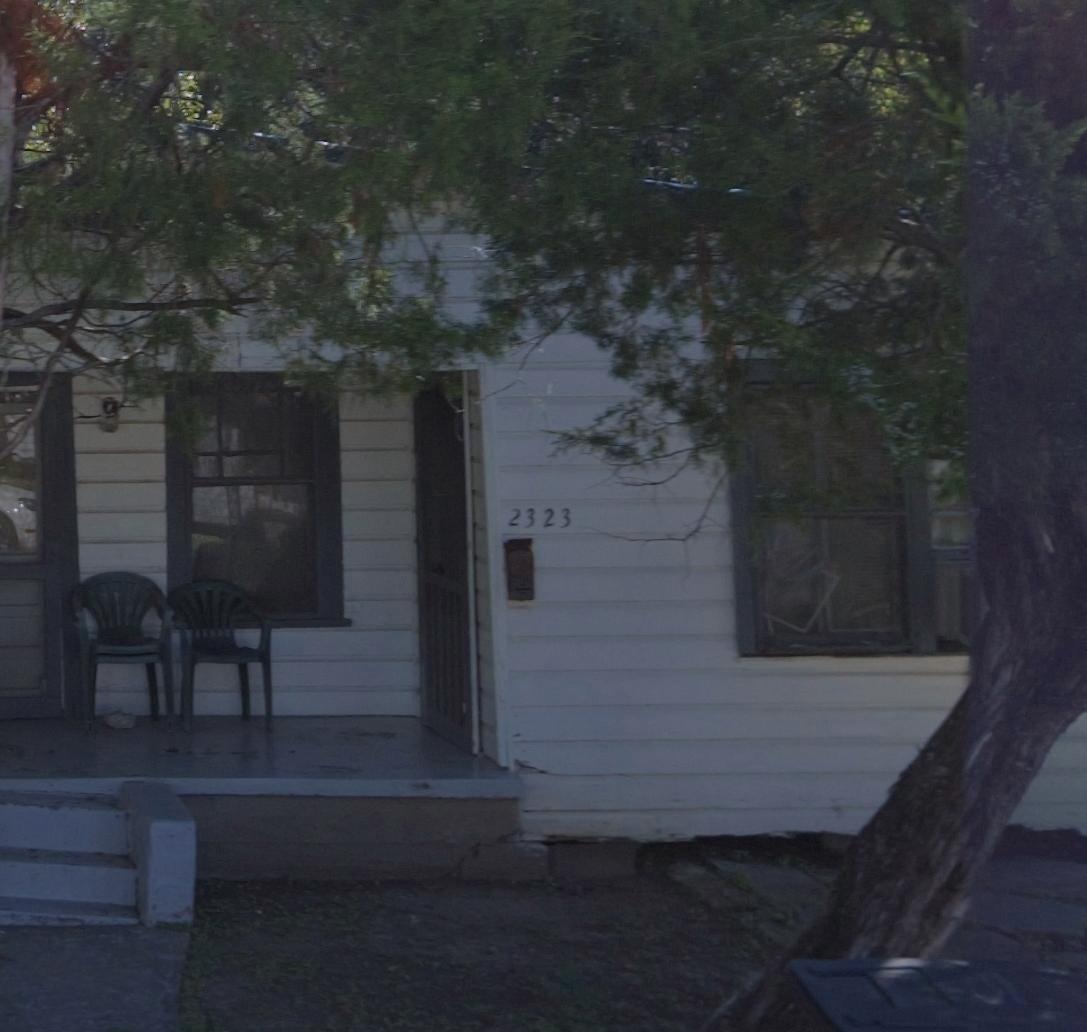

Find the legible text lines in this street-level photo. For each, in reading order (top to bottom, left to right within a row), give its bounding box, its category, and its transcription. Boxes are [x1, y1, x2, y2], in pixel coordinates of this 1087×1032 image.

[503, 504, 575, 531] StreetNumber: 2323